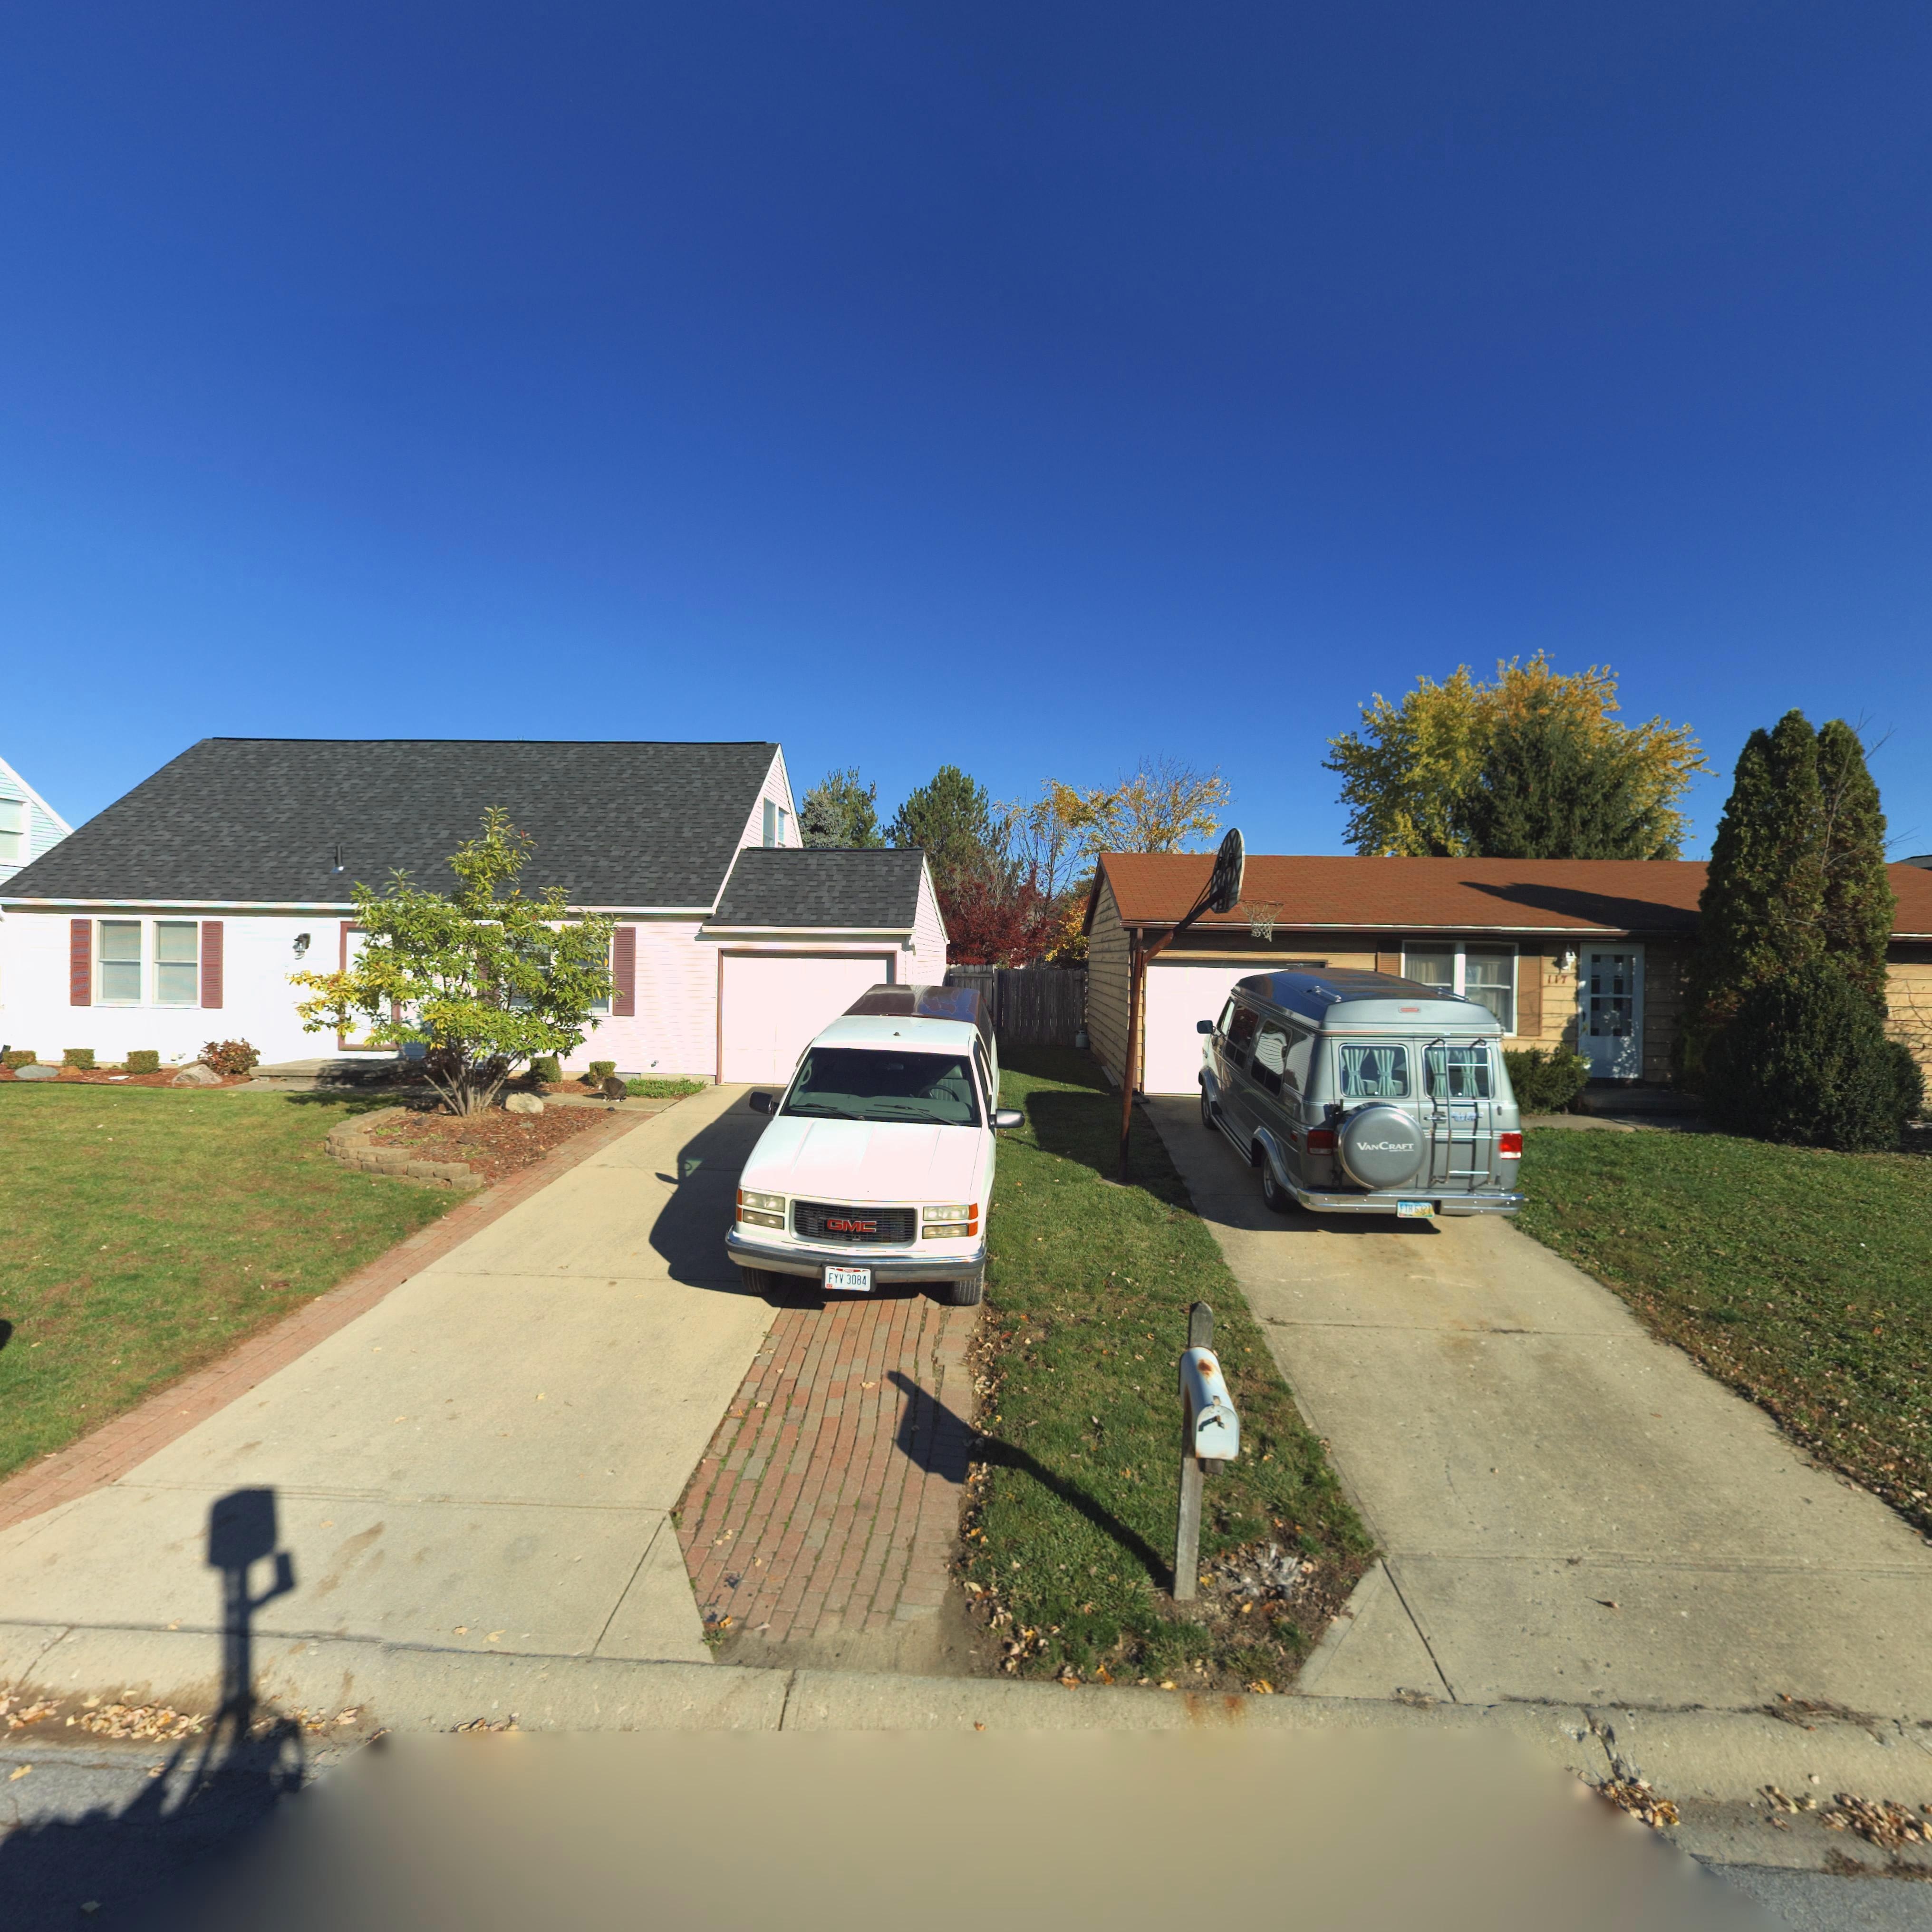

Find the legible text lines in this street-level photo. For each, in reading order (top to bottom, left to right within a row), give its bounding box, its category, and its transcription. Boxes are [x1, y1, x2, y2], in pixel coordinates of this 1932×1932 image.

[1546, 973, 1568, 985] StreetNumber: 117